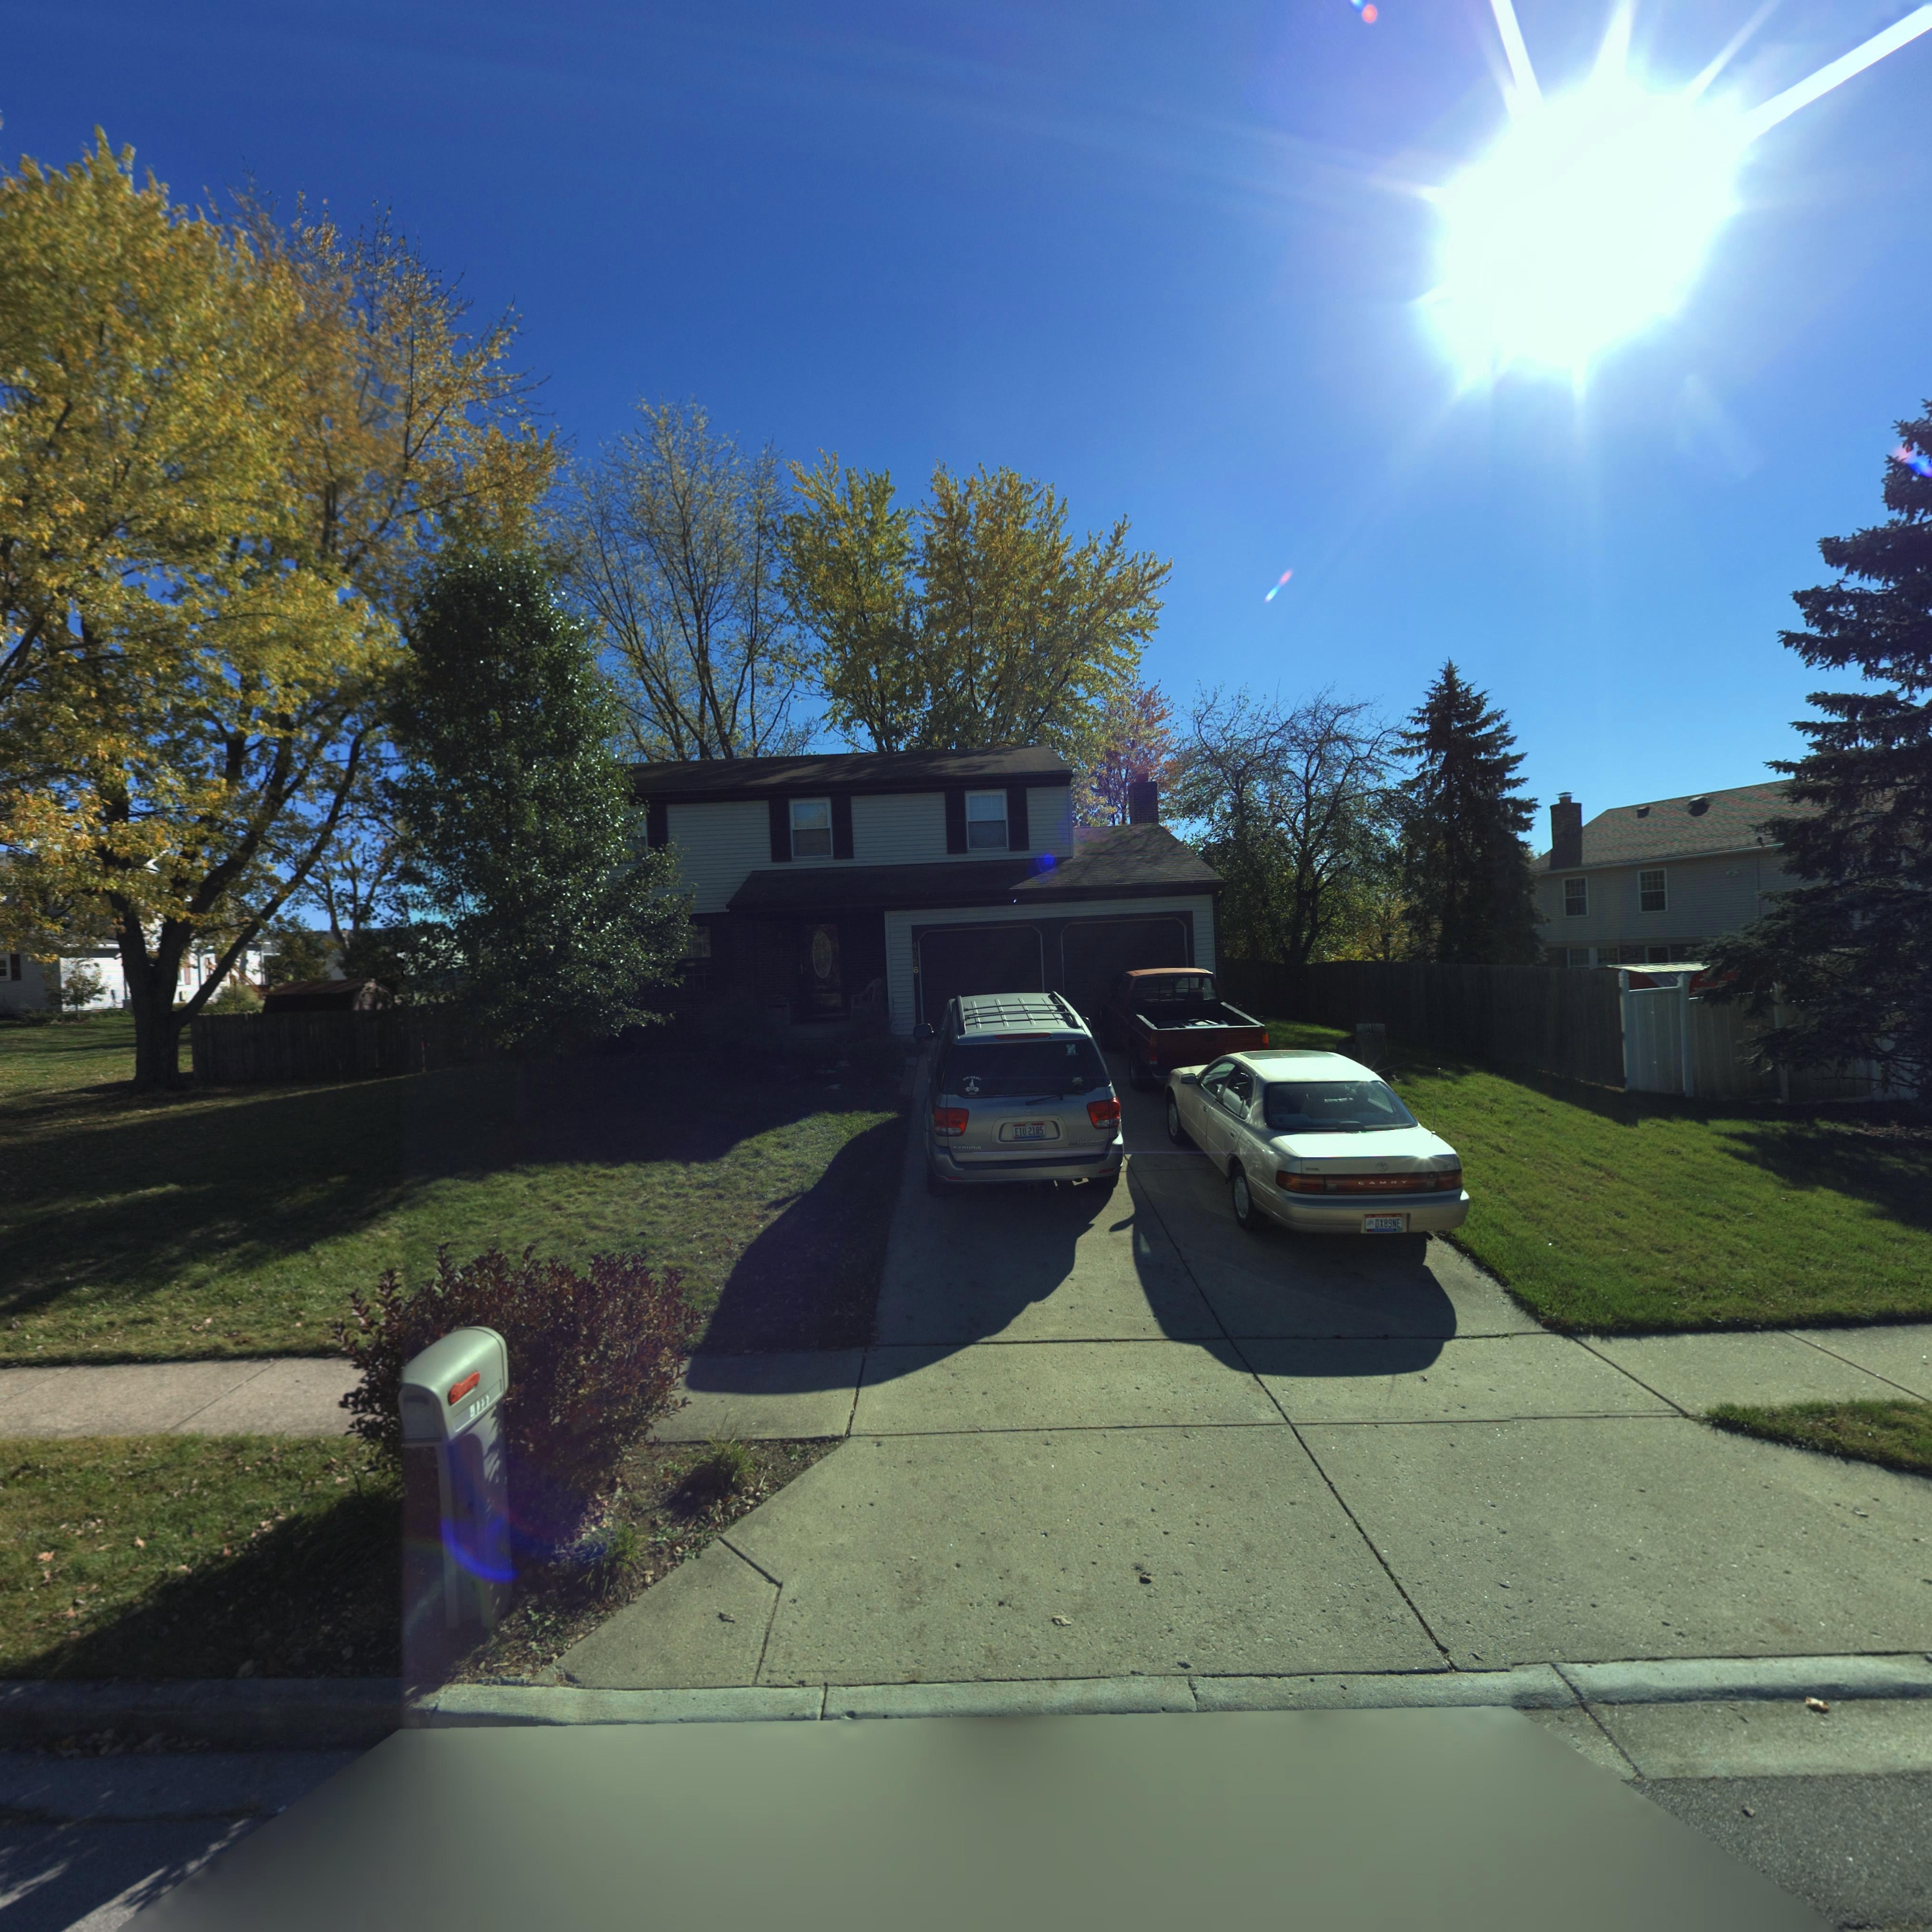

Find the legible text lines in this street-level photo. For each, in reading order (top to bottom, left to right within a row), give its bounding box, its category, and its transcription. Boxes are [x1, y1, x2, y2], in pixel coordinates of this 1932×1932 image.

[912, 942, 918, 975] StreetNumber: 4056
[469, 1391, 490, 1420] StreetNumber: 4***